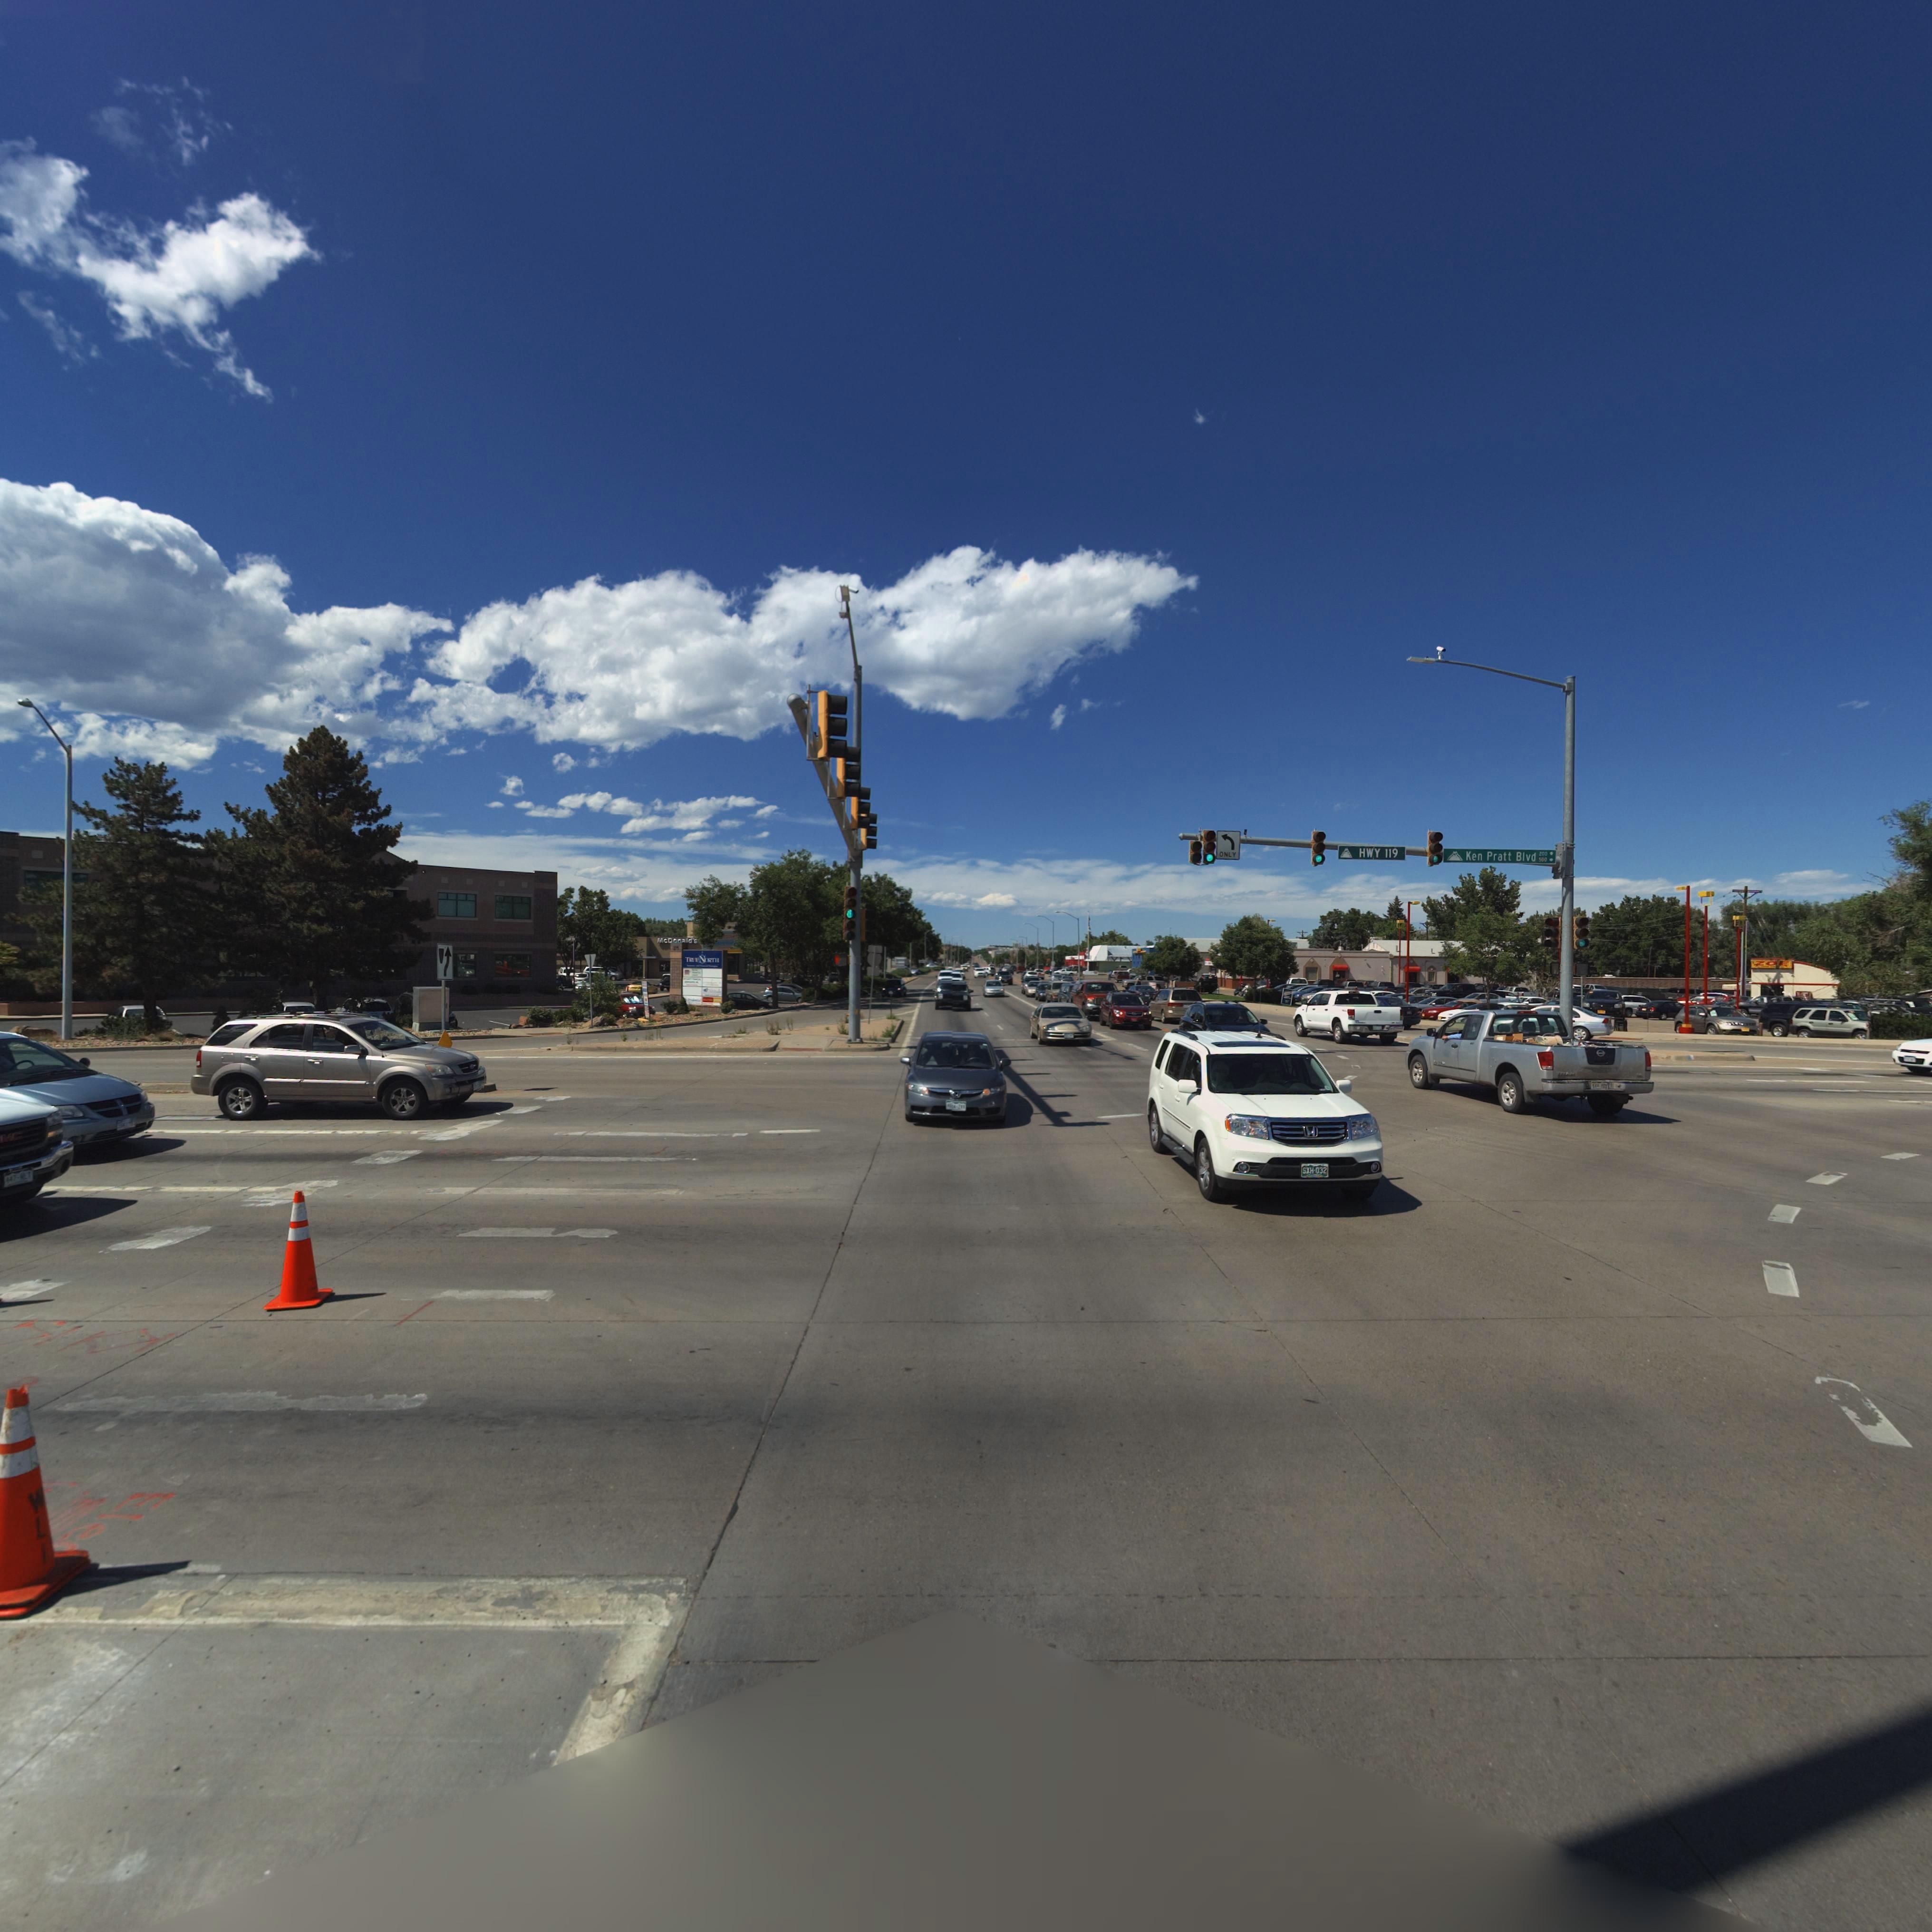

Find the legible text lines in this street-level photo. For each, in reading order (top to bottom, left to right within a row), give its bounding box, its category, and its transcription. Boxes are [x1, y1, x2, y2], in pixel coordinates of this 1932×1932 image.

[1359, 847, 1398, 858] StreetName: HWY 119
[1466, 850, 1536, 862] StreetName: Ken Pratt Blvd
[1539, 851, 1548, 856] StreetNumberRange: 200
[1538, 857, 1554, 862] StreetNumberRange: 500 ->
[657, 937, 697, 943] BusinessName: McDonald's
[685, 955, 719, 963] BusinessName: TRUENORTH
[1755, 961, 1789, 966] BusinessName: ZOE